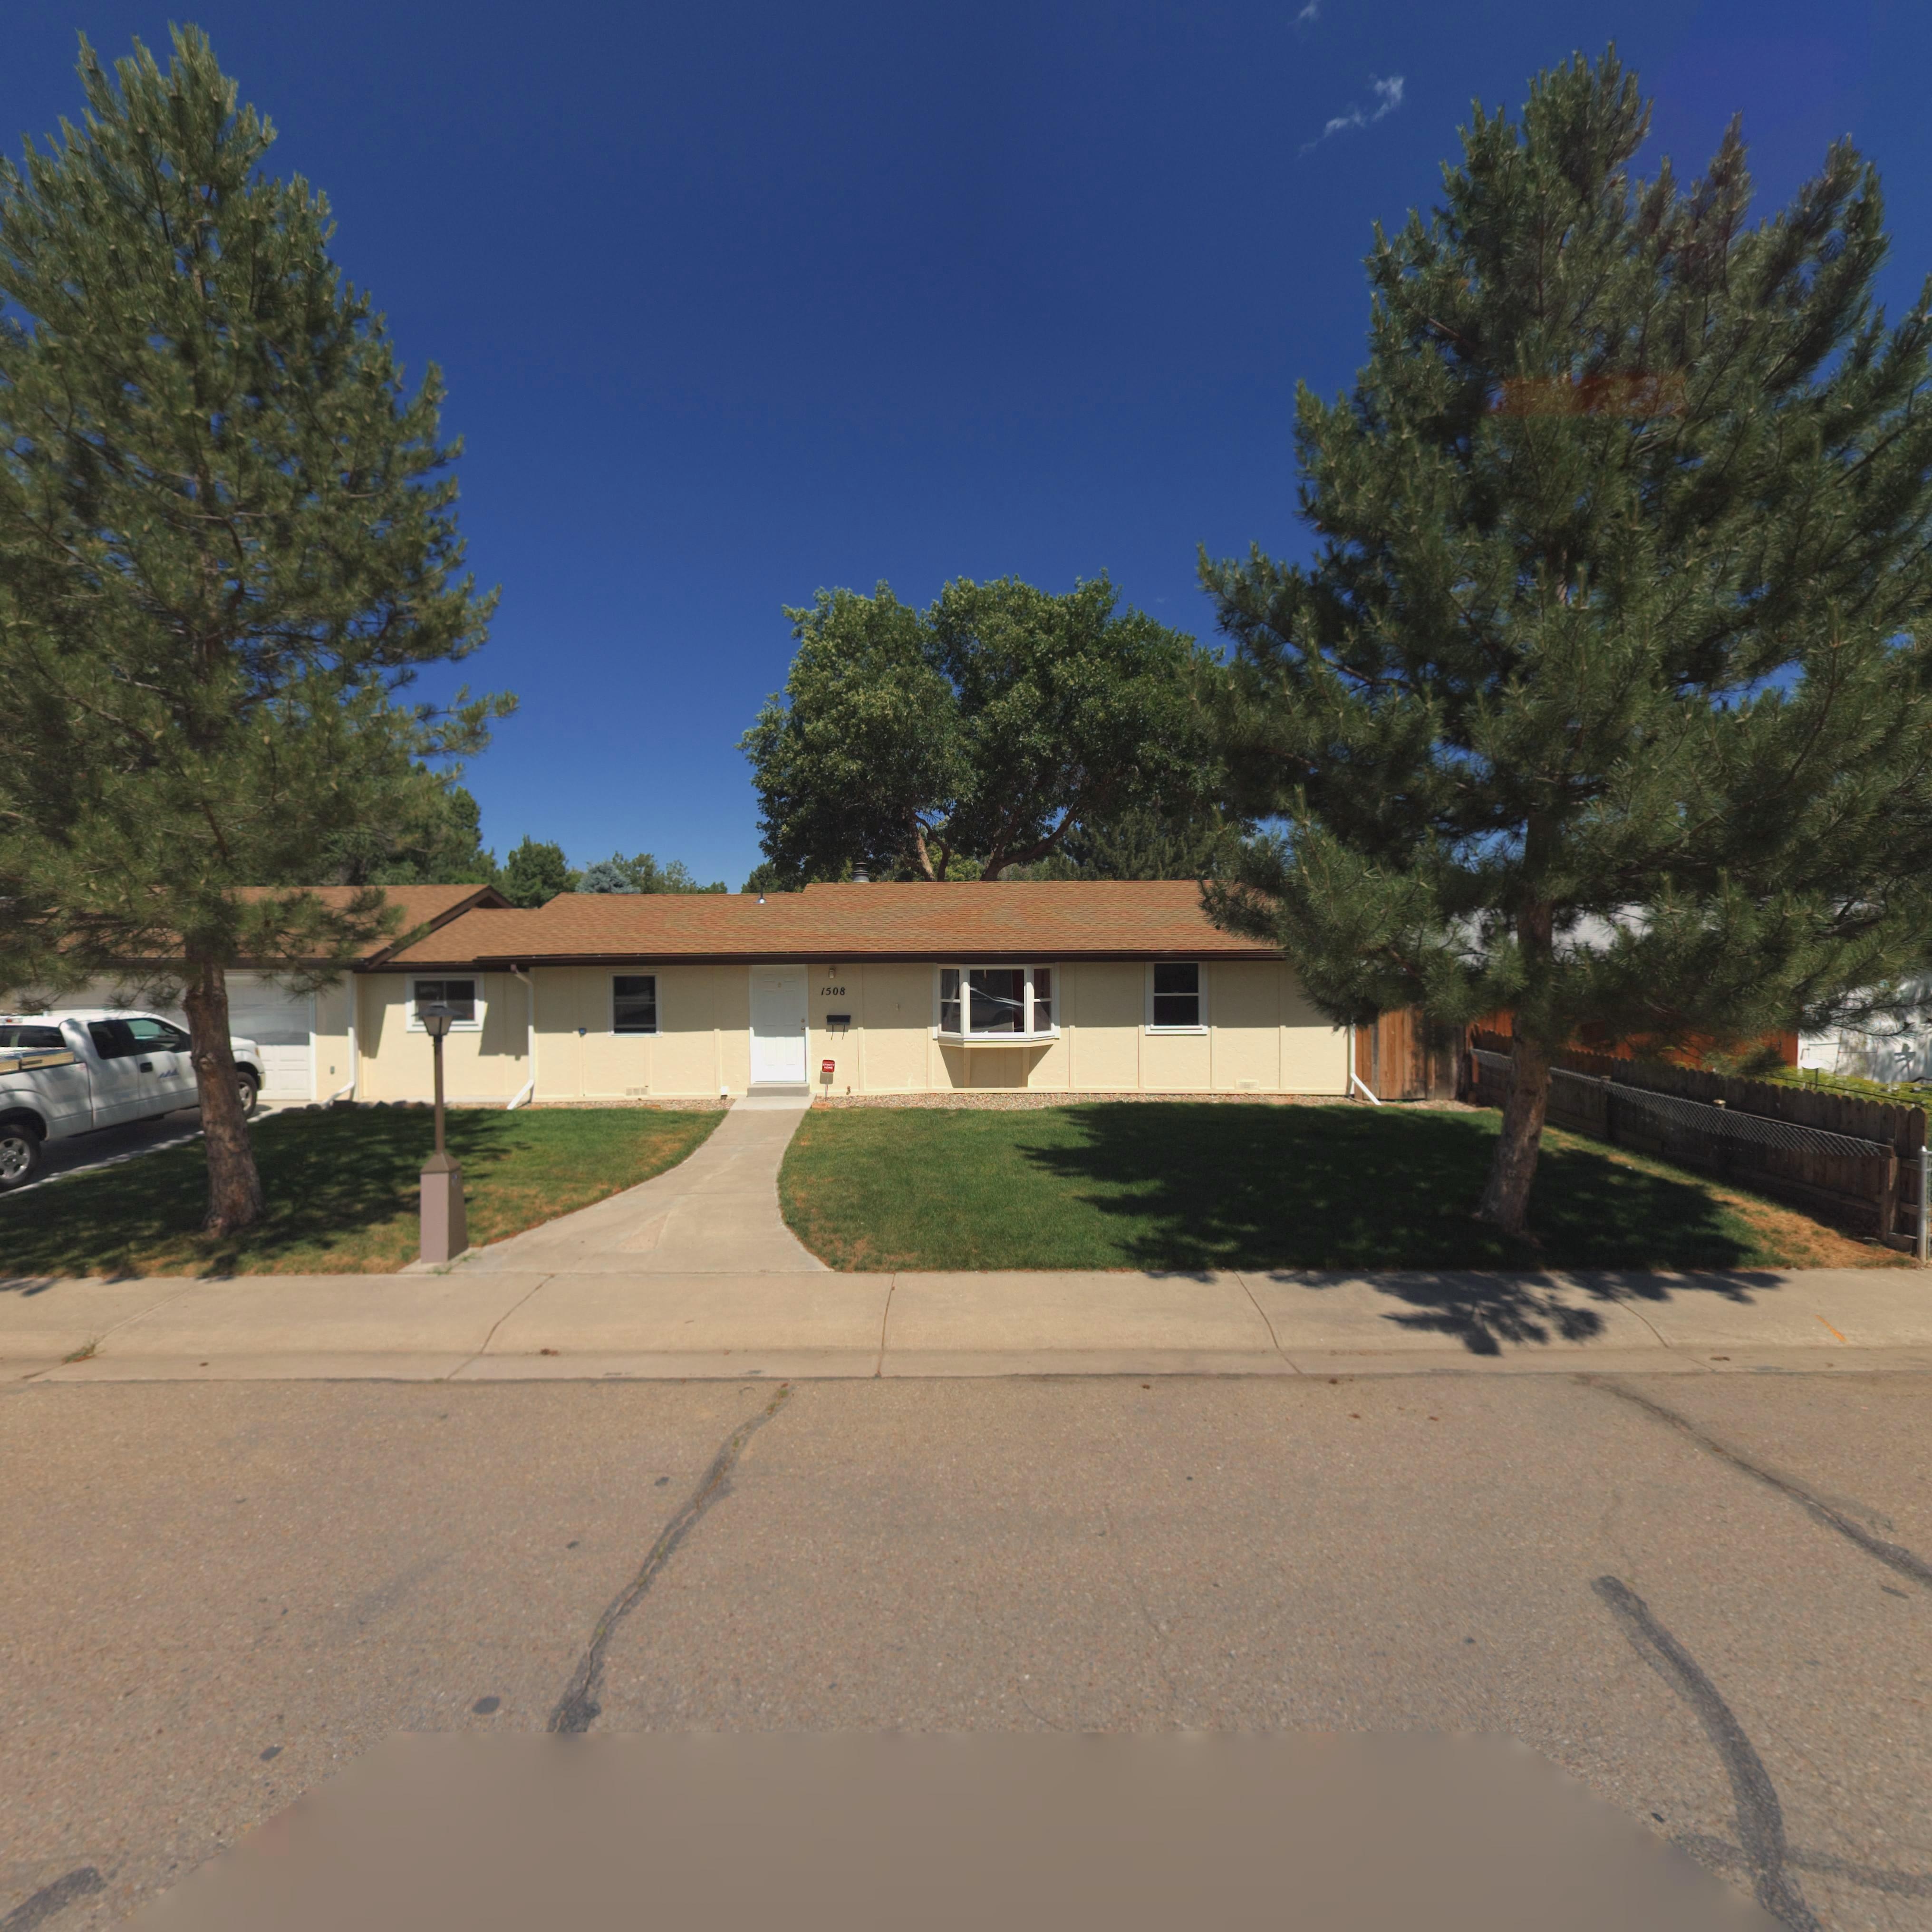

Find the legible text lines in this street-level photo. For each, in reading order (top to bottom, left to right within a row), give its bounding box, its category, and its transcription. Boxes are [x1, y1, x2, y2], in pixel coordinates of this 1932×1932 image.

[820, 986, 846, 996] StreetNumber: 1508